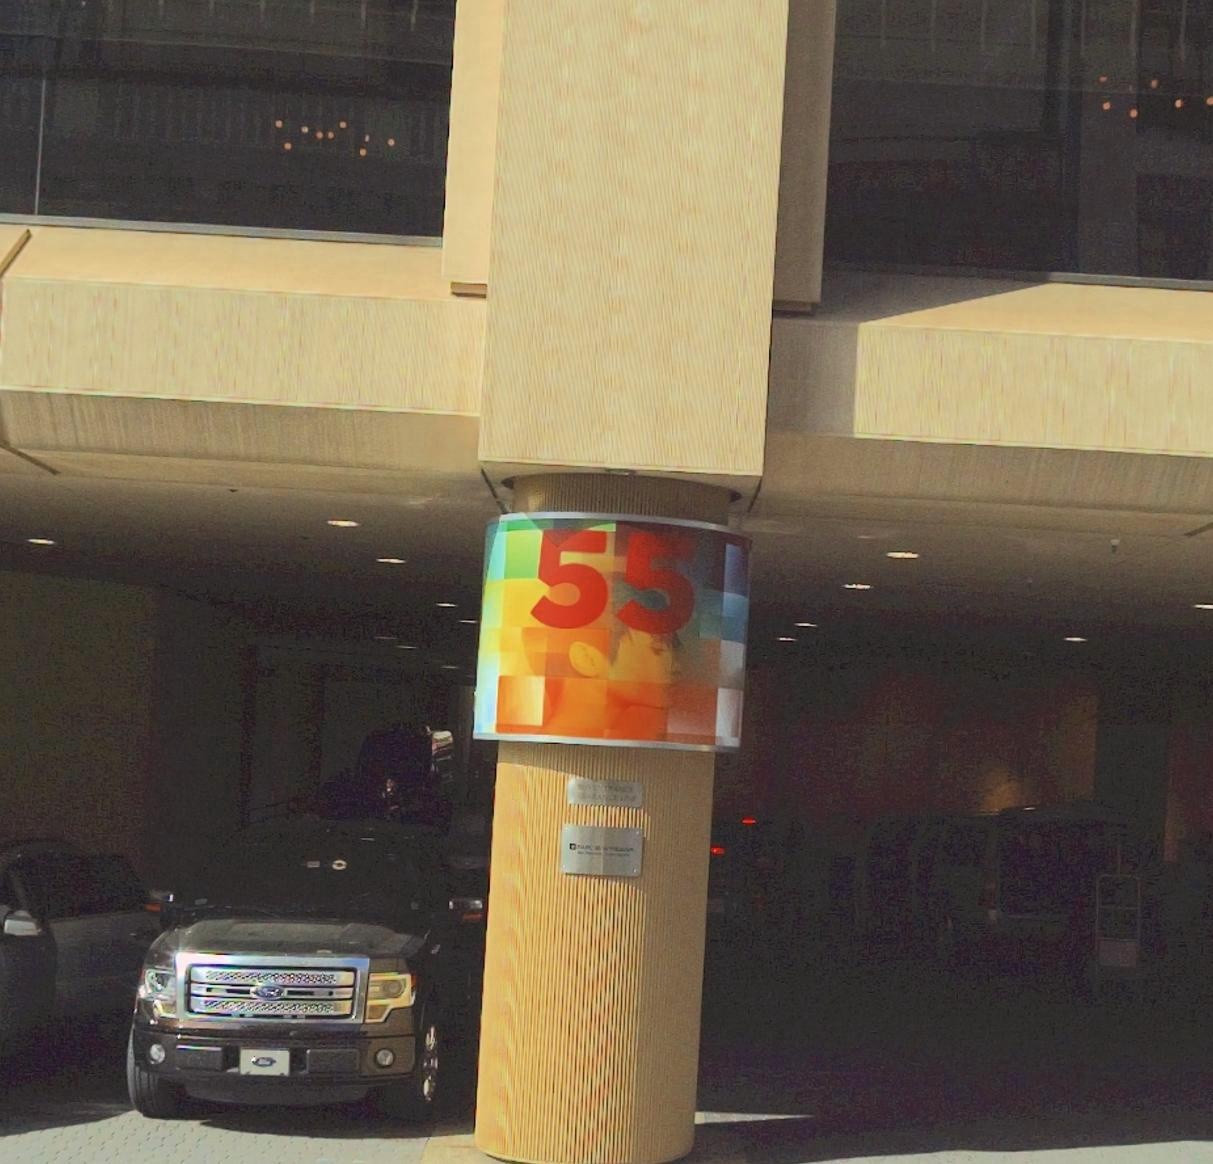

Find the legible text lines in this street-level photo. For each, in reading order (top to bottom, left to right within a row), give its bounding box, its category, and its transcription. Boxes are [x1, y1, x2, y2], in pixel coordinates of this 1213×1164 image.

[527, 522, 702, 641] StreetNumber: 55